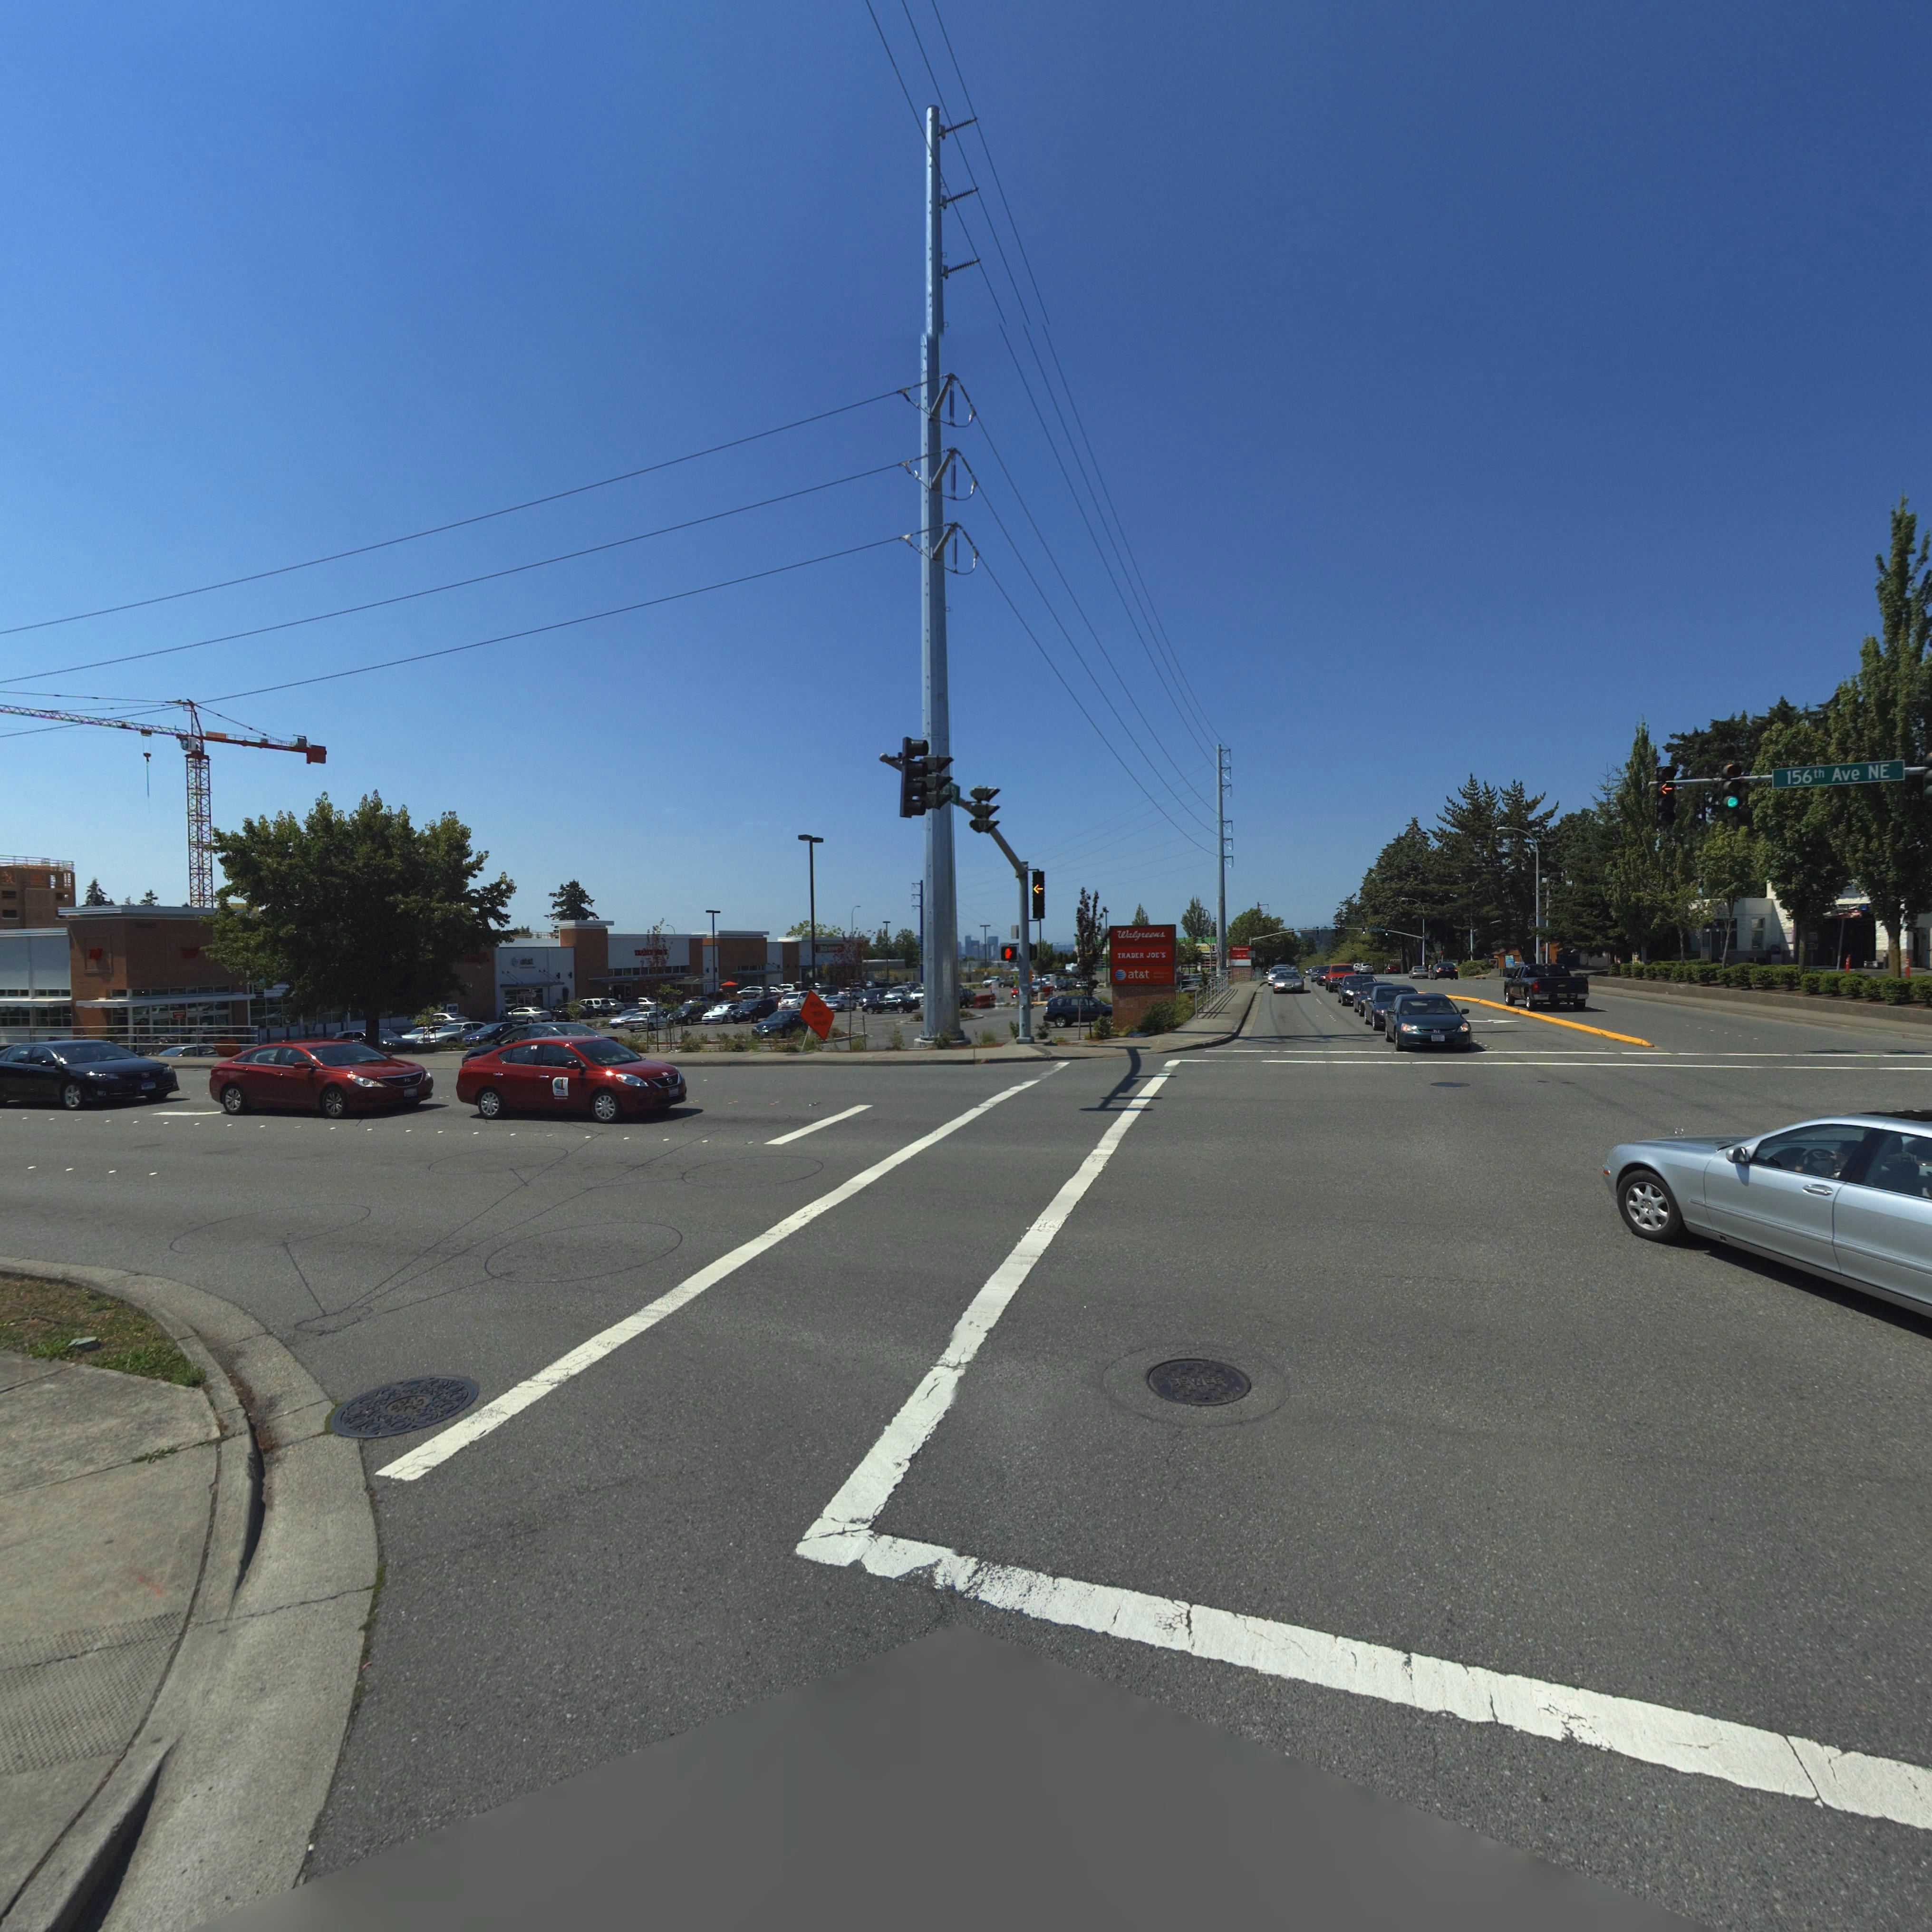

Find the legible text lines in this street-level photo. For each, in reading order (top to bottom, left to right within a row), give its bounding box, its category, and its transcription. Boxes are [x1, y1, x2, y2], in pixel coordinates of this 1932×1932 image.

[1787, 764, 1889, 783] StreetName: 156th Ave NE
[1117, 929, 1165, 941] BusinessName: Walgreens
[1117, 952, 1166, 958] BusinessName: TRADER JOE*S
[1128, 969, 1150, 979] BusinessName: at*t